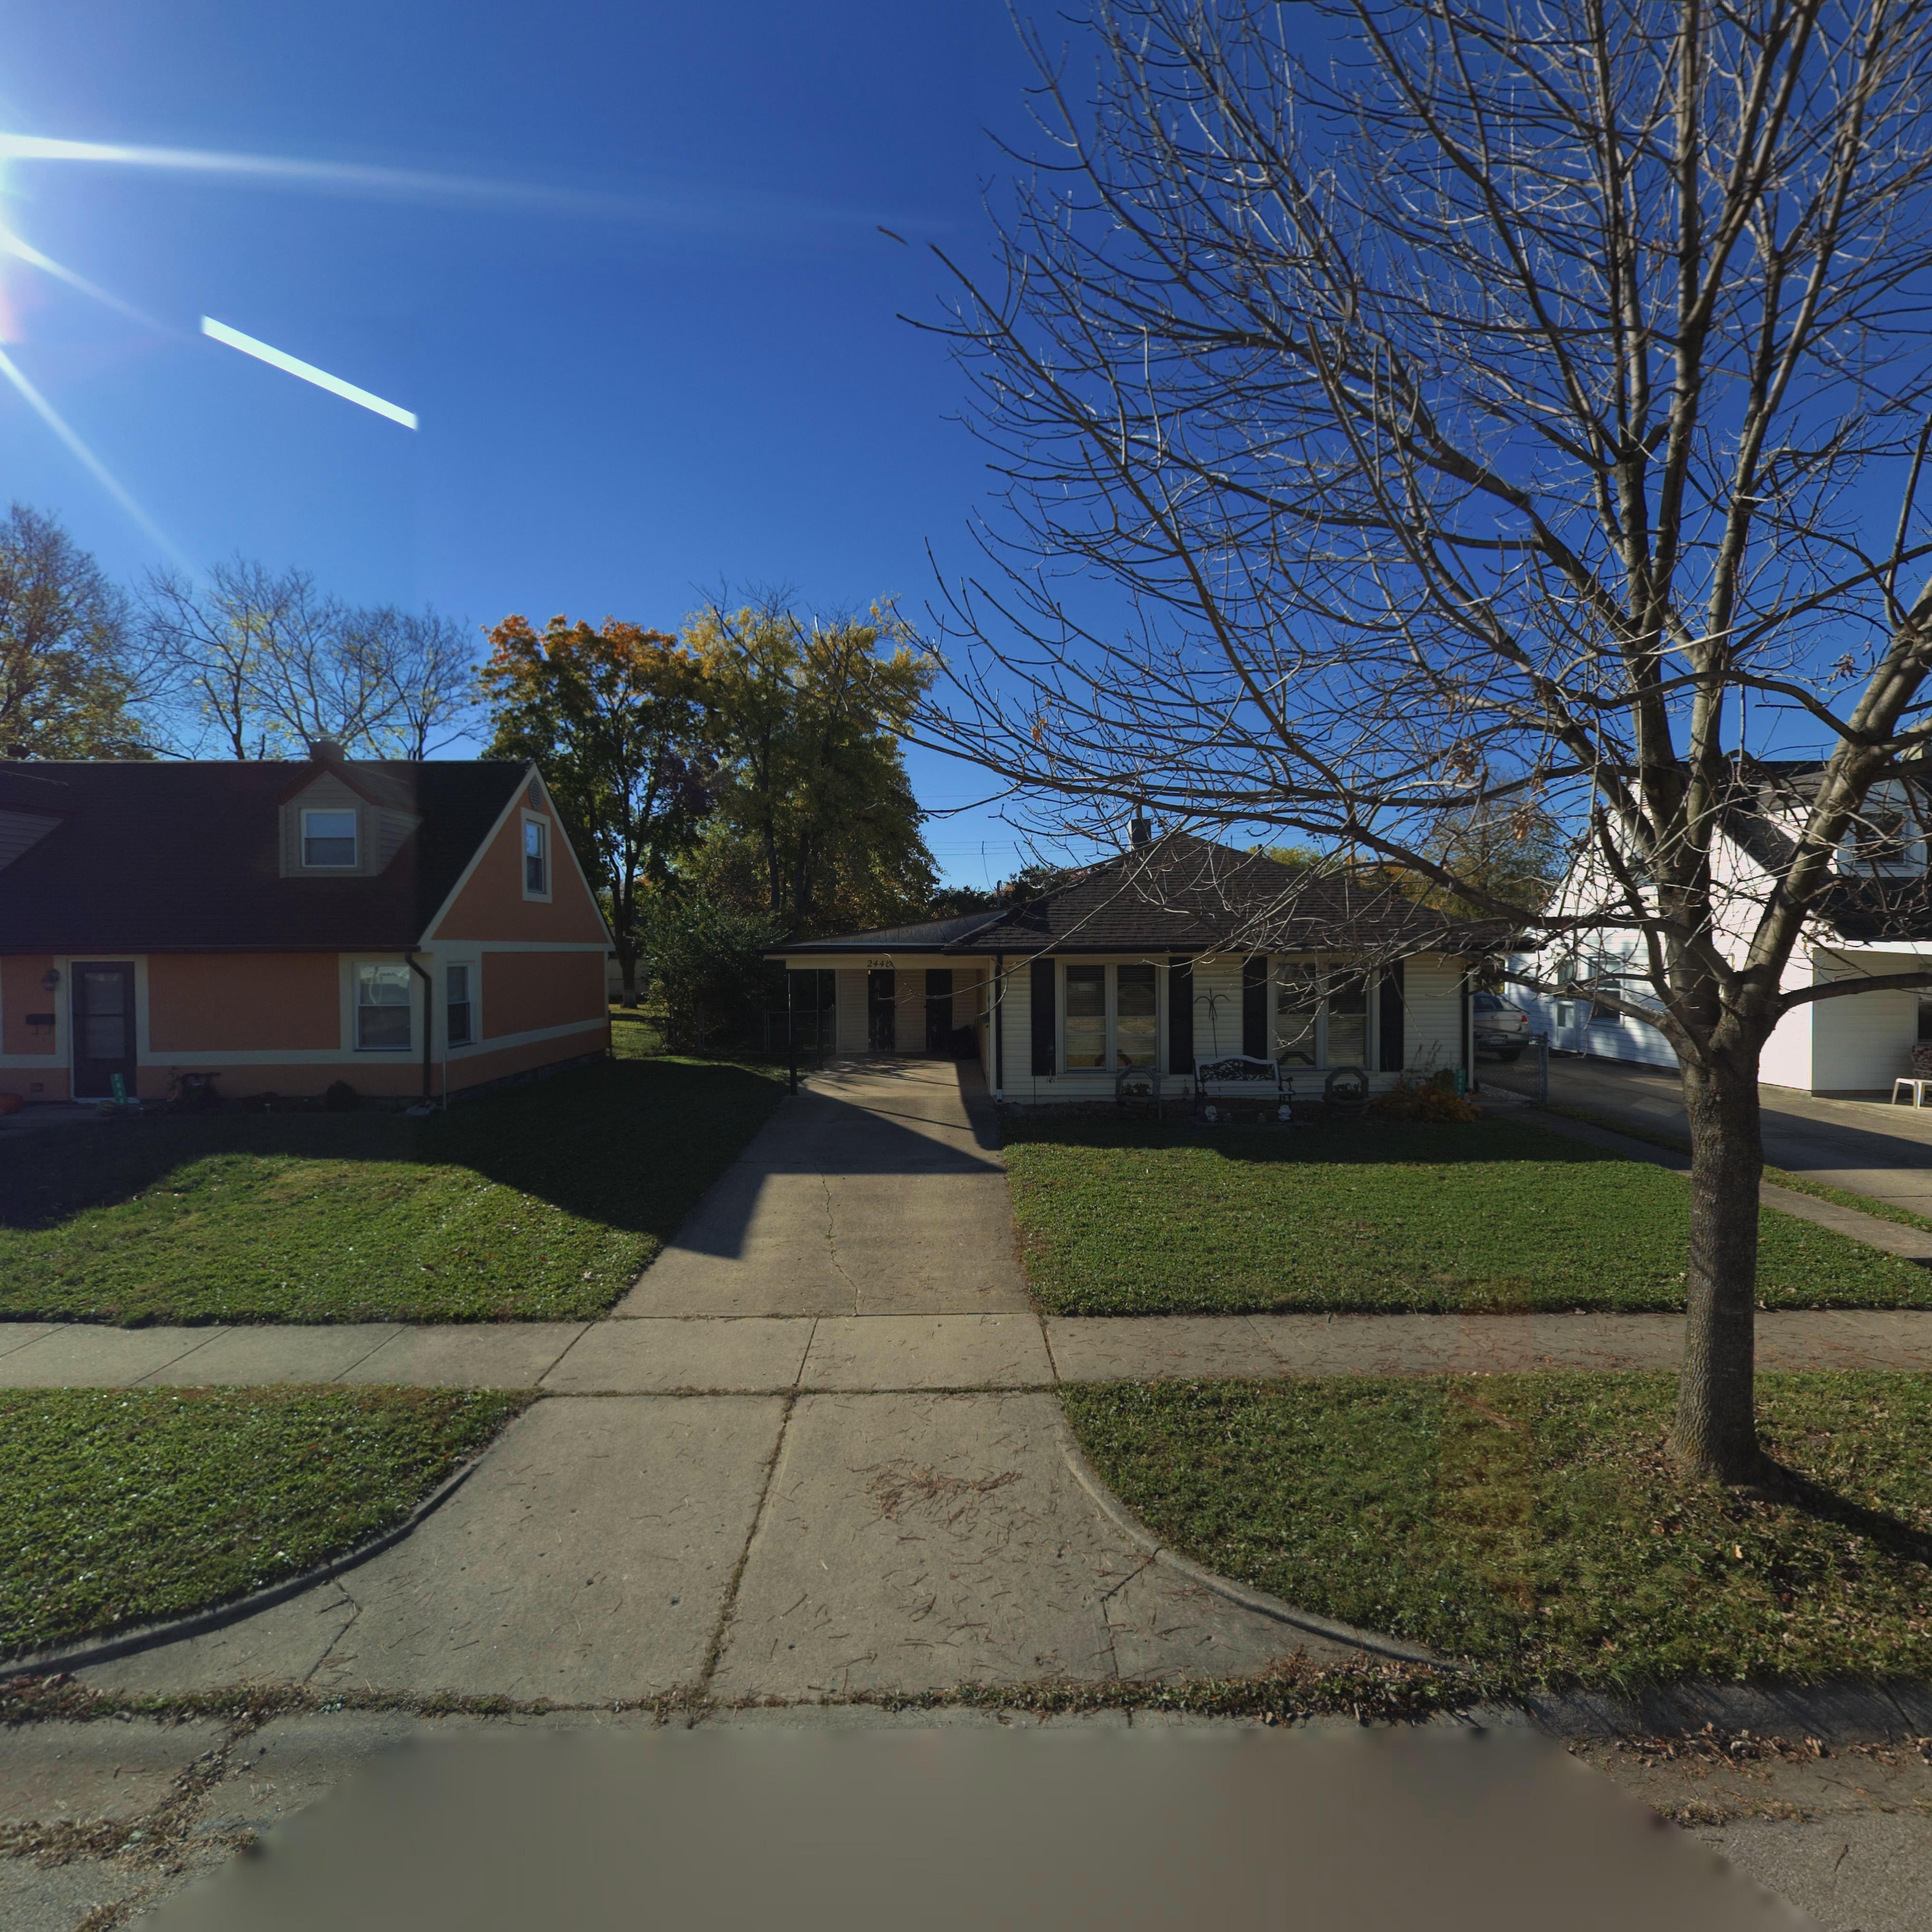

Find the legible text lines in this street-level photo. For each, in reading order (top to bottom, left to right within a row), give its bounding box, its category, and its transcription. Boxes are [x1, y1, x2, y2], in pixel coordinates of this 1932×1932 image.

[866, 959, 893, 969] StreetNumber: 244*
[1458, 1069, 1464, 1085] StreetNumber: 2*
[113, 1072, 126, 1105] StreetNumber: 2***